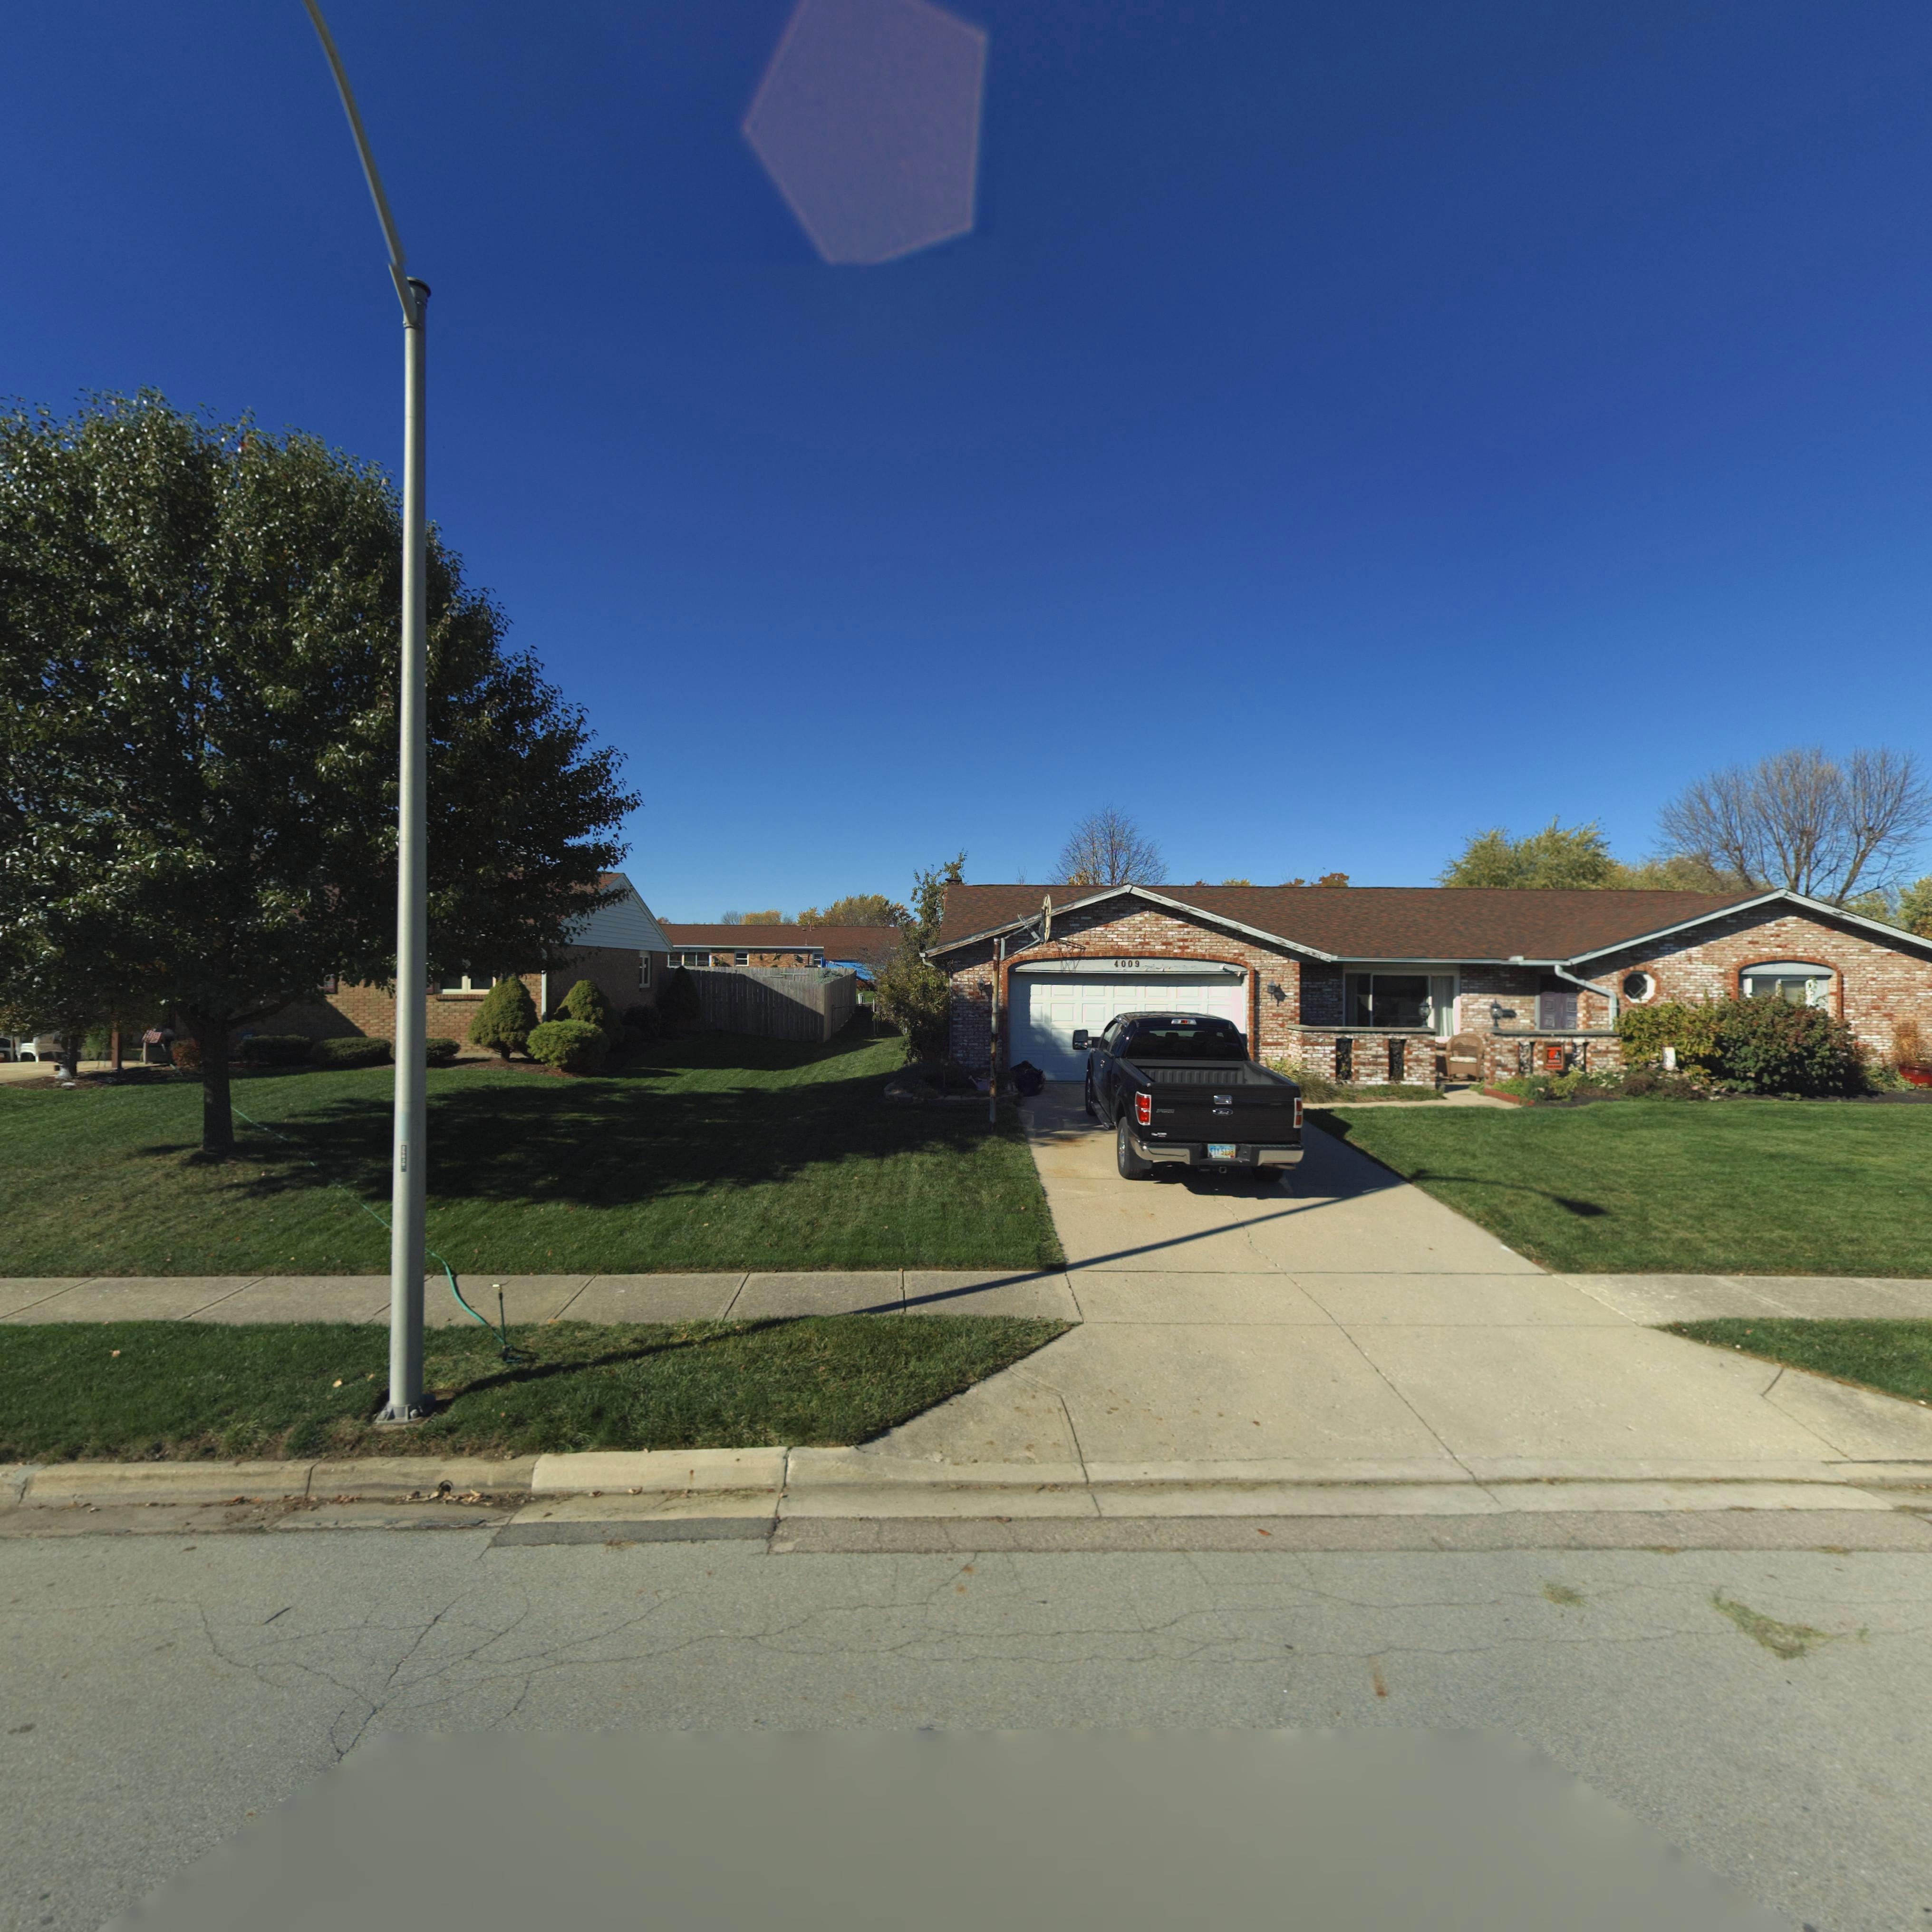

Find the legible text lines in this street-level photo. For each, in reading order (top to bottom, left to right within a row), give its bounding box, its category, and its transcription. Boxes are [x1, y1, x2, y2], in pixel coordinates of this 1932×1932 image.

[1114, 960, 1140, 967] StreetNumber: 4009